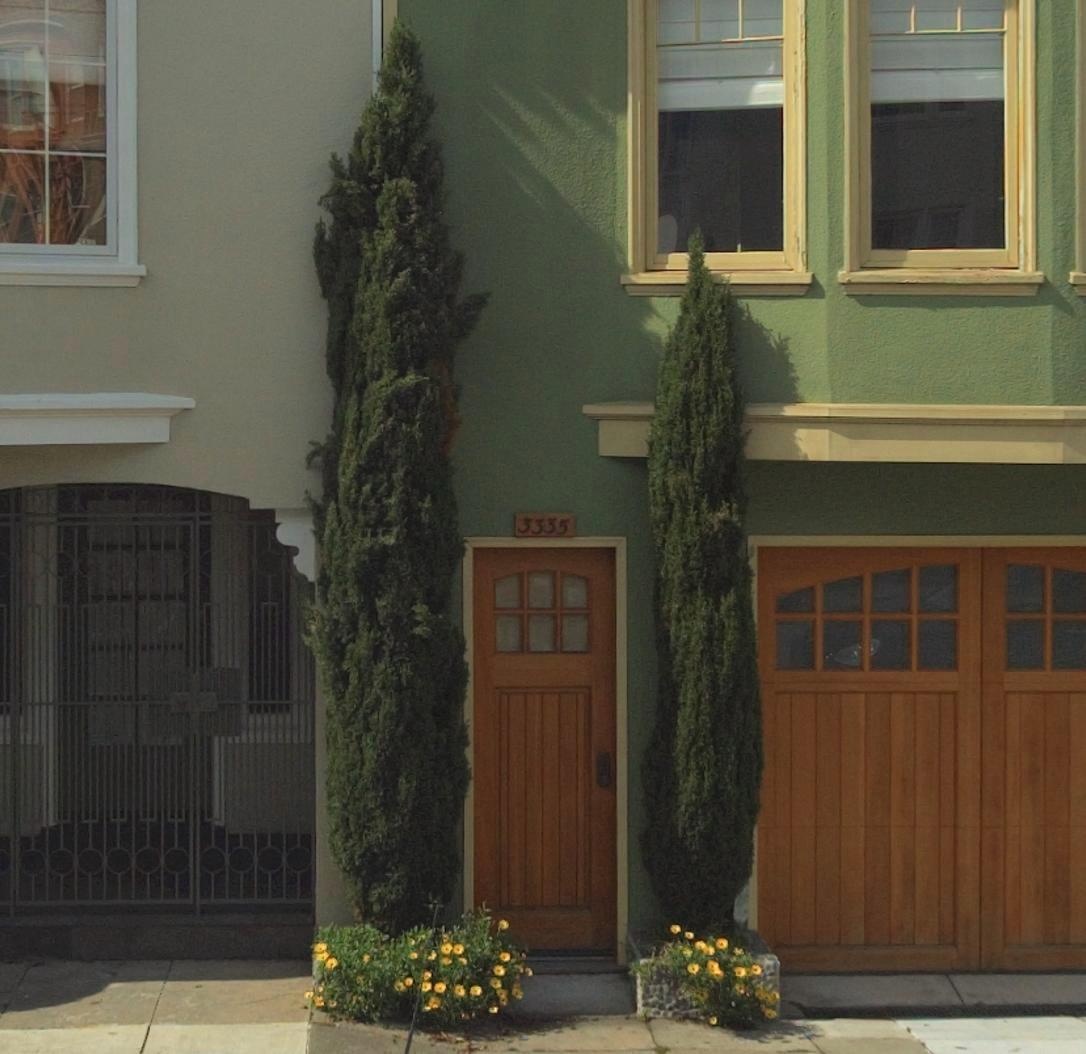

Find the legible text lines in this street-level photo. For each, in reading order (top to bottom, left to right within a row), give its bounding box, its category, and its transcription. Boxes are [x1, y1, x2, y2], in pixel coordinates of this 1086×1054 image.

[513, 516, 572, 537] StreetNumber: 3335